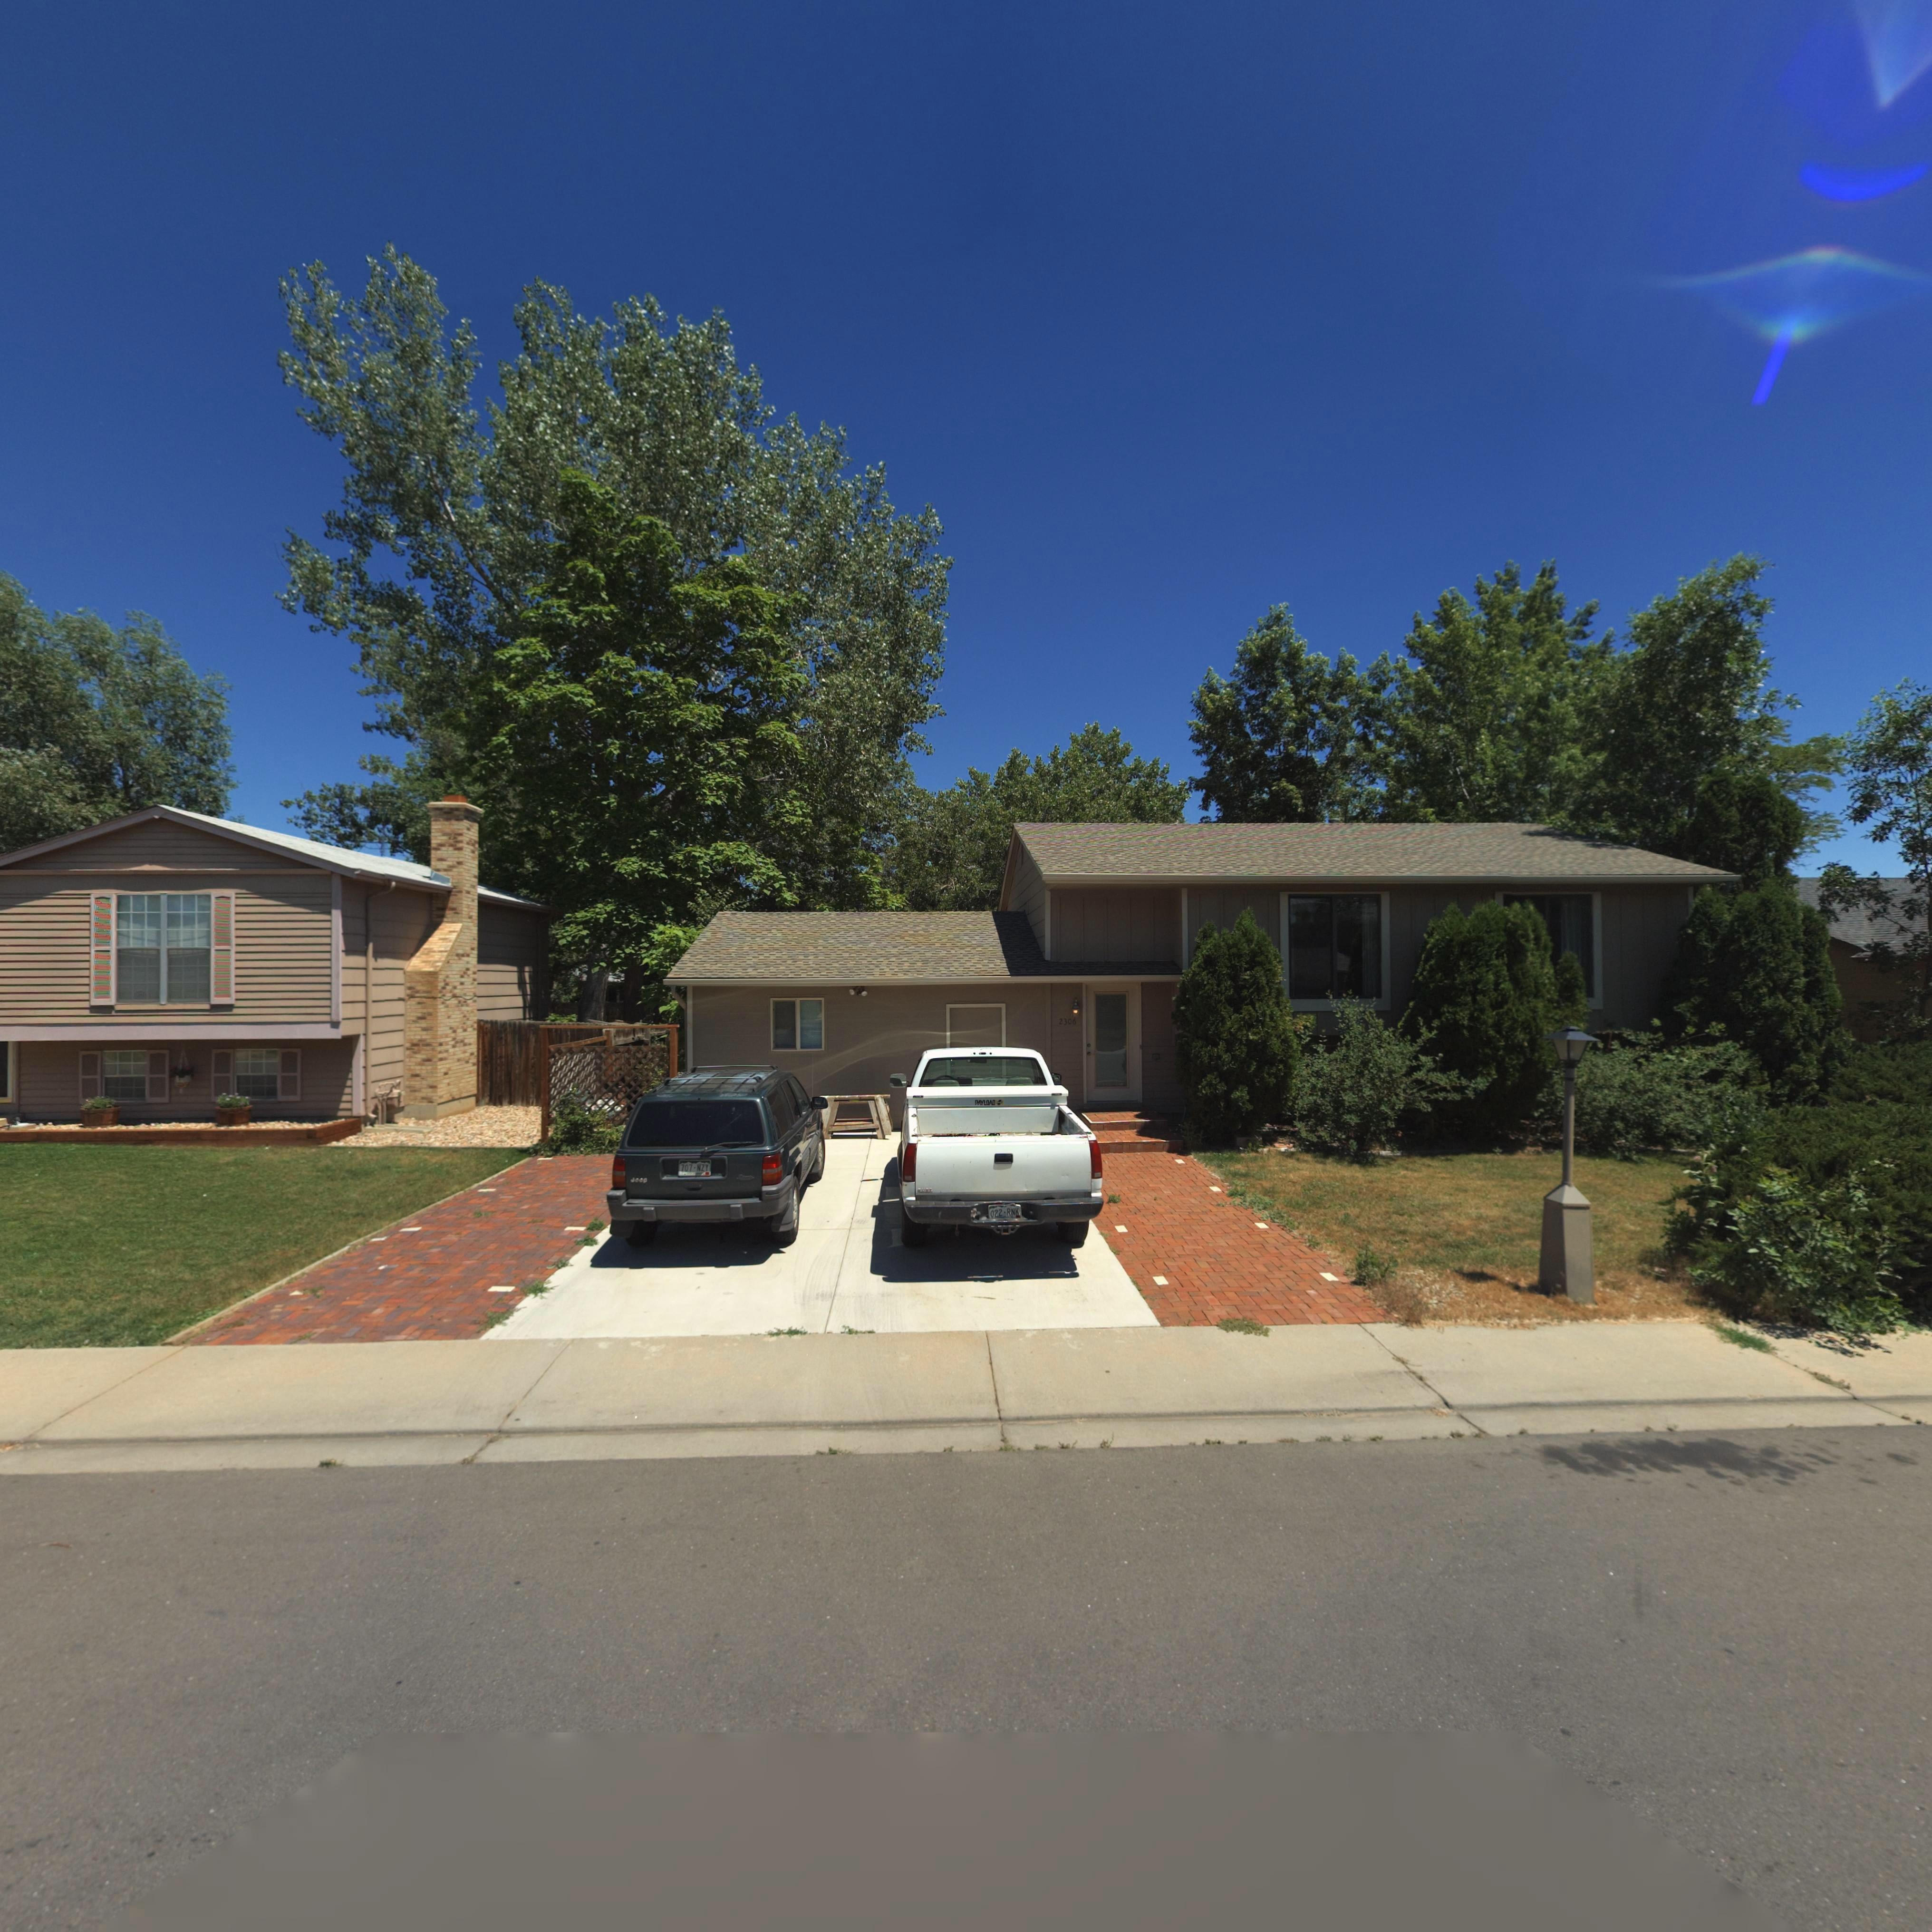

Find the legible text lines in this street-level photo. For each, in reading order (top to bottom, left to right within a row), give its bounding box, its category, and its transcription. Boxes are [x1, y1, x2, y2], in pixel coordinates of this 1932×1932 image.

[1058, 1017, 1076, 1025] StreetNumber: 2306